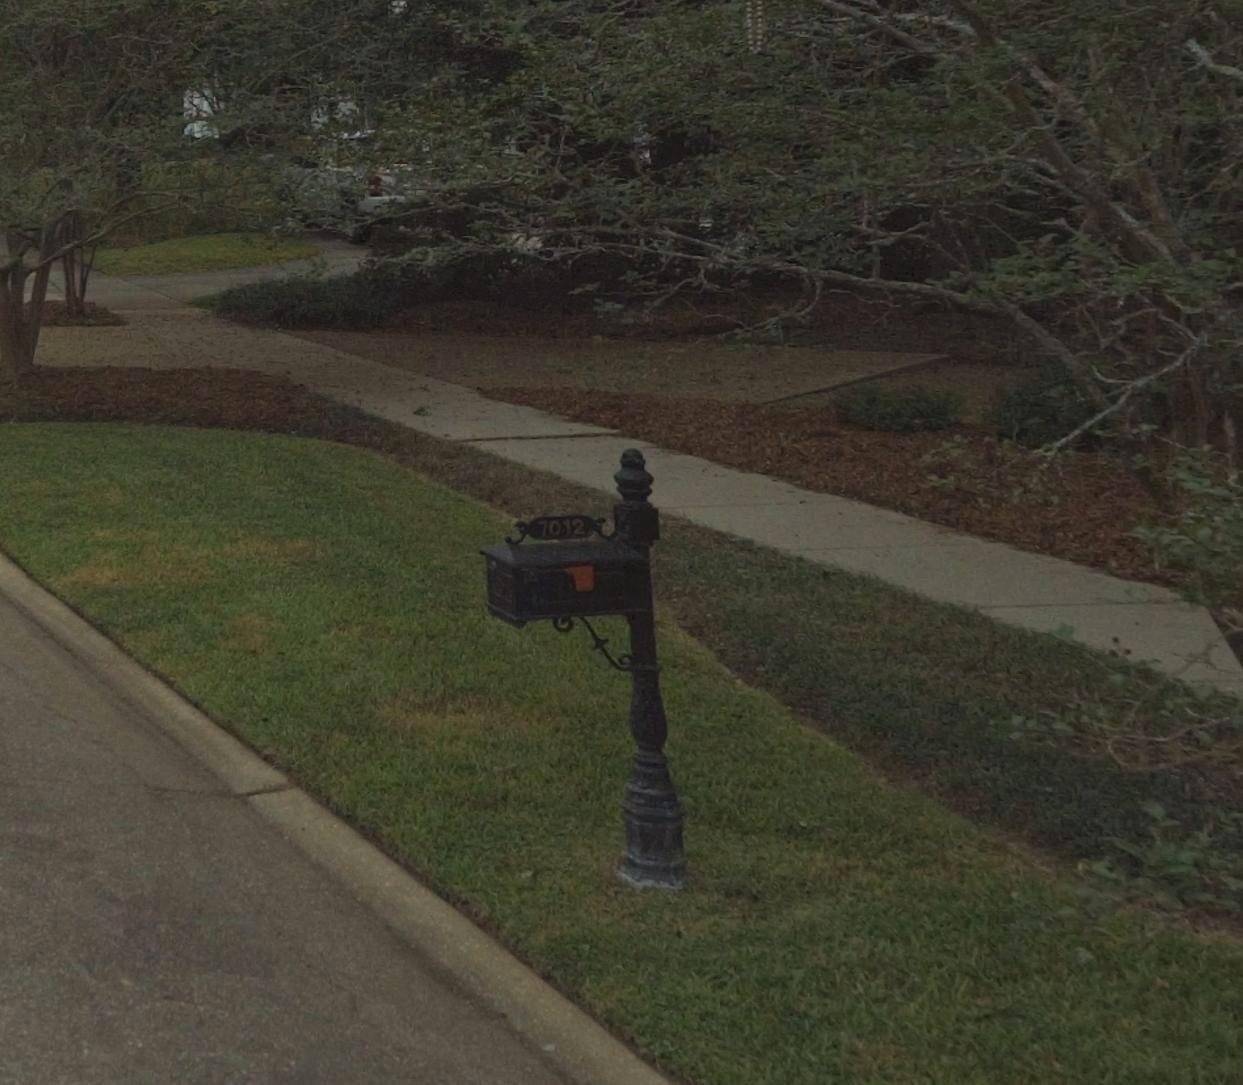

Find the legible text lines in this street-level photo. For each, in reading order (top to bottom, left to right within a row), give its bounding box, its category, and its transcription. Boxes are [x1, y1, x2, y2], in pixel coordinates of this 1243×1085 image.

[537, 519, 586, 537] StreetNumber: 7012